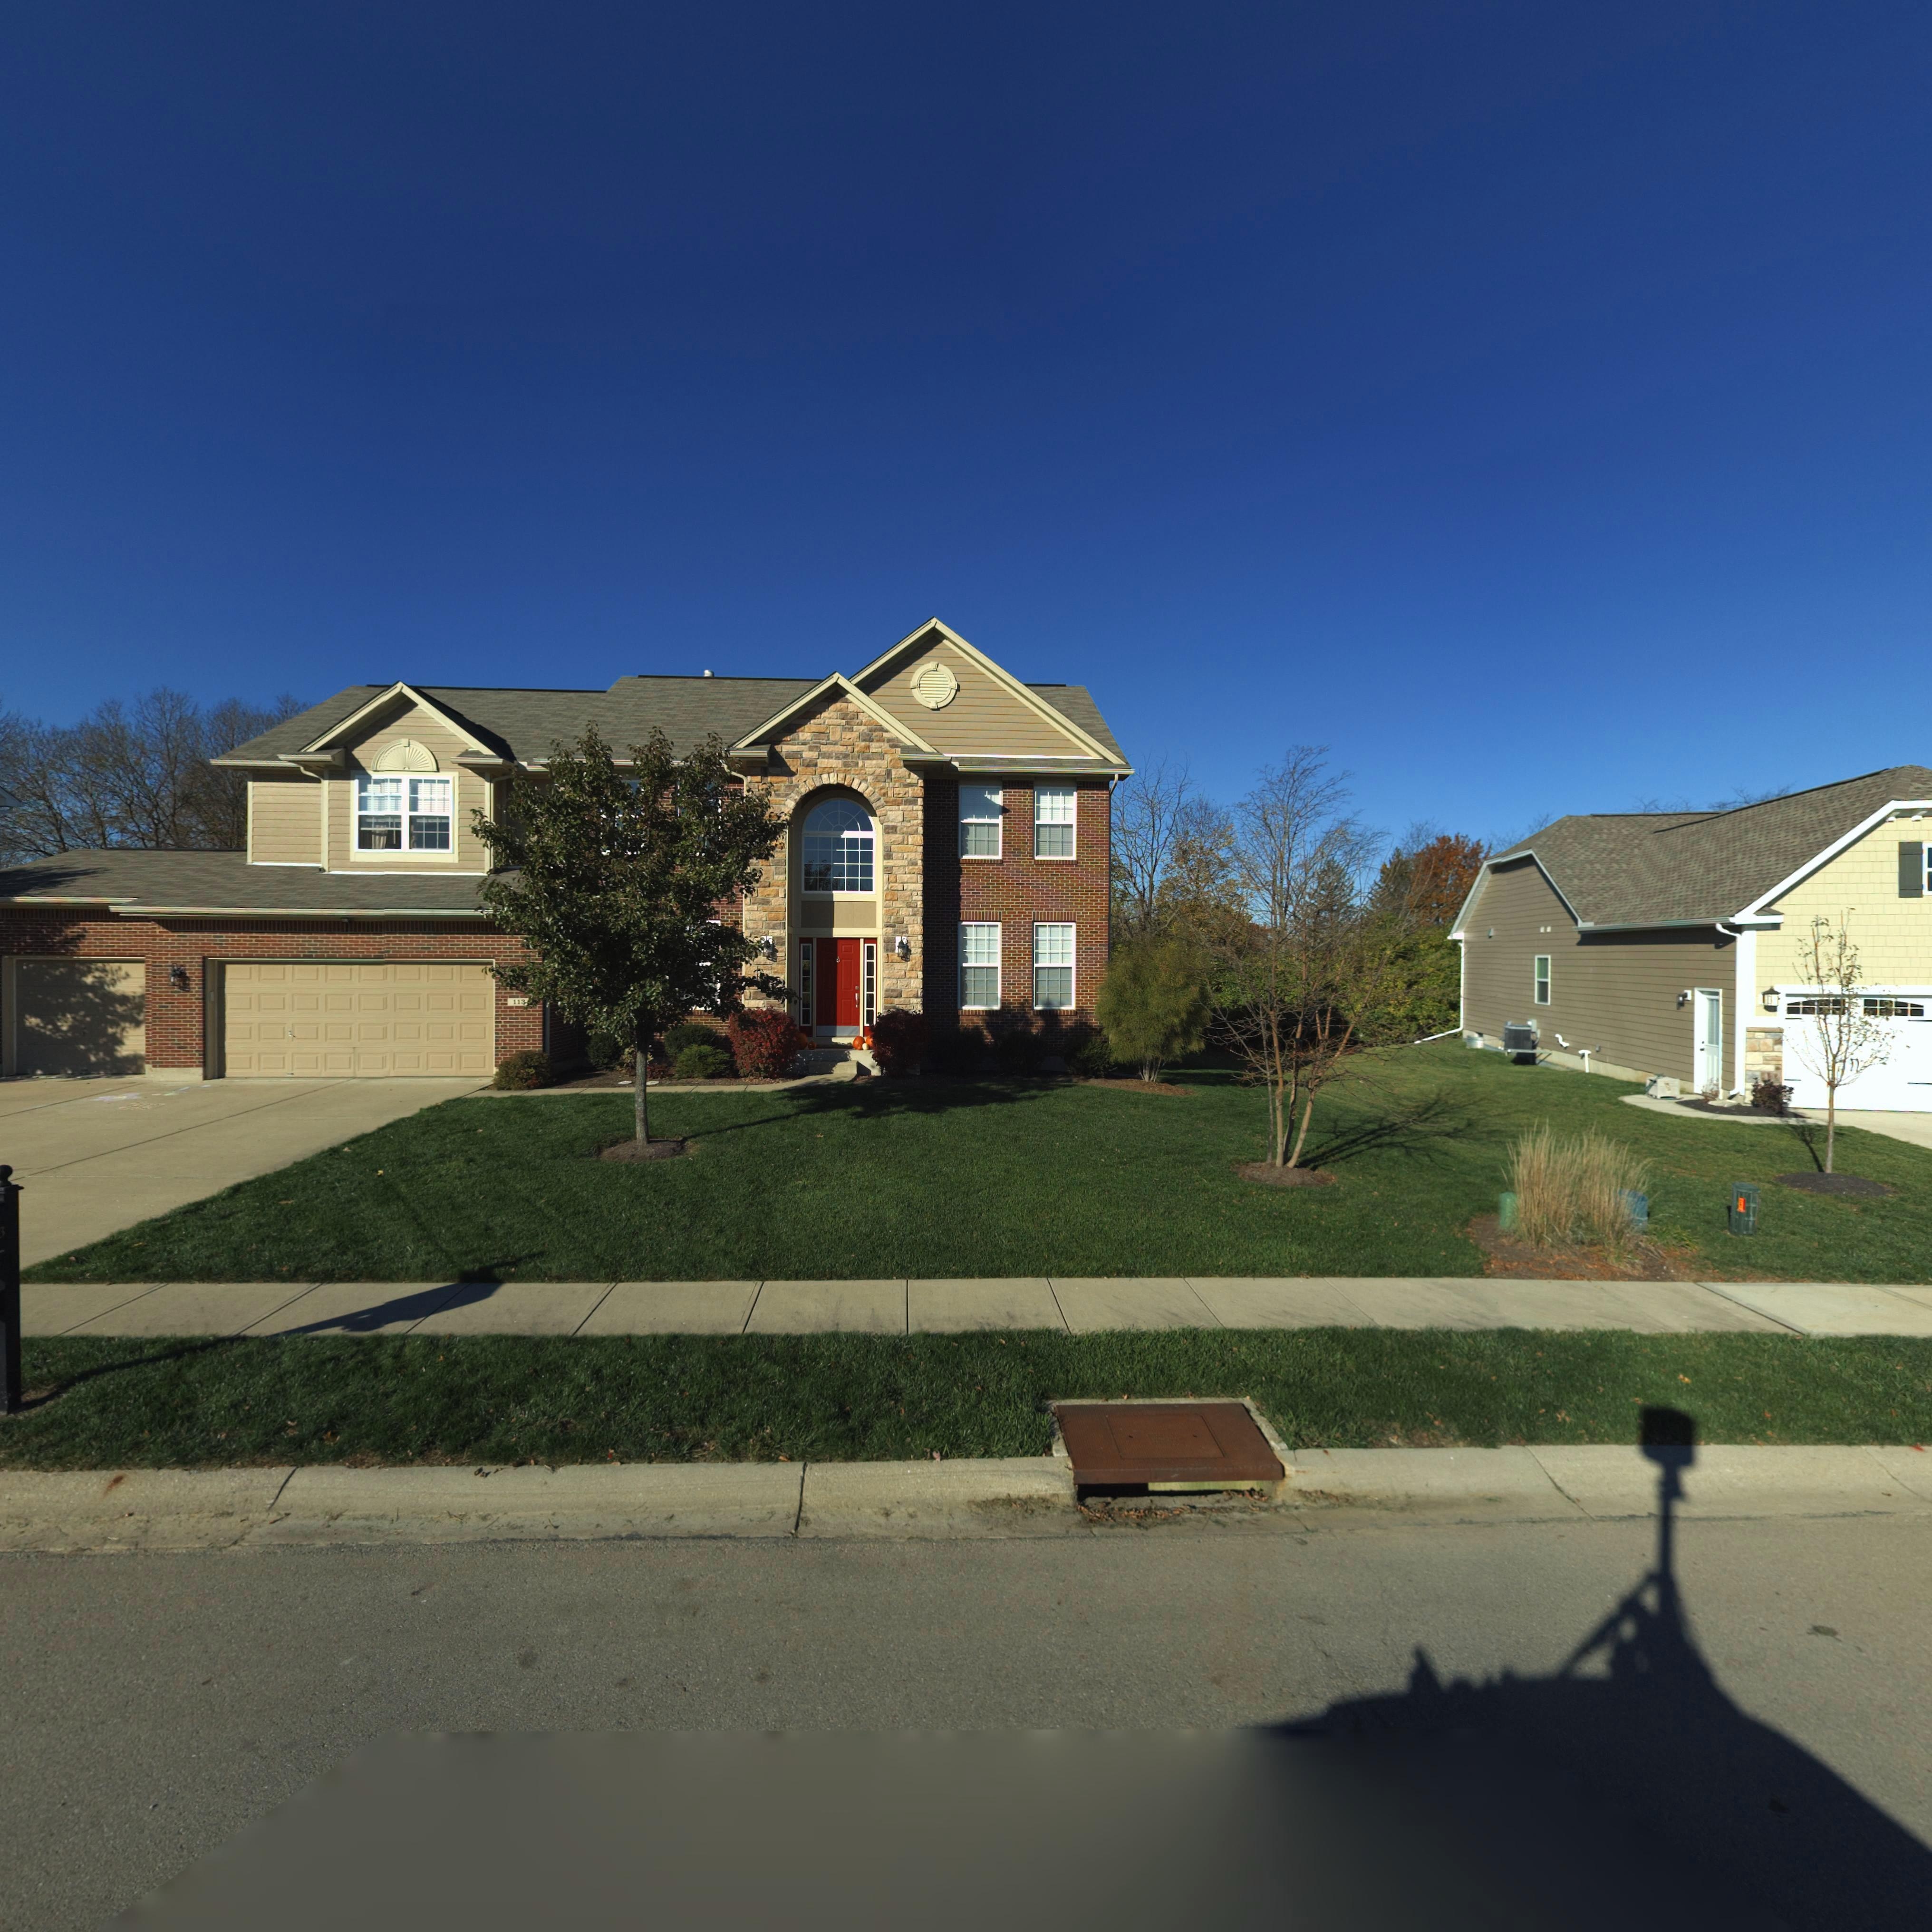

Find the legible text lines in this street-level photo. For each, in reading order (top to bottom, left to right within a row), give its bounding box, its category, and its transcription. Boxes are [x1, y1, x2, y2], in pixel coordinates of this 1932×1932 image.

[512, 998, 526, 1005] StreetNumber: 113